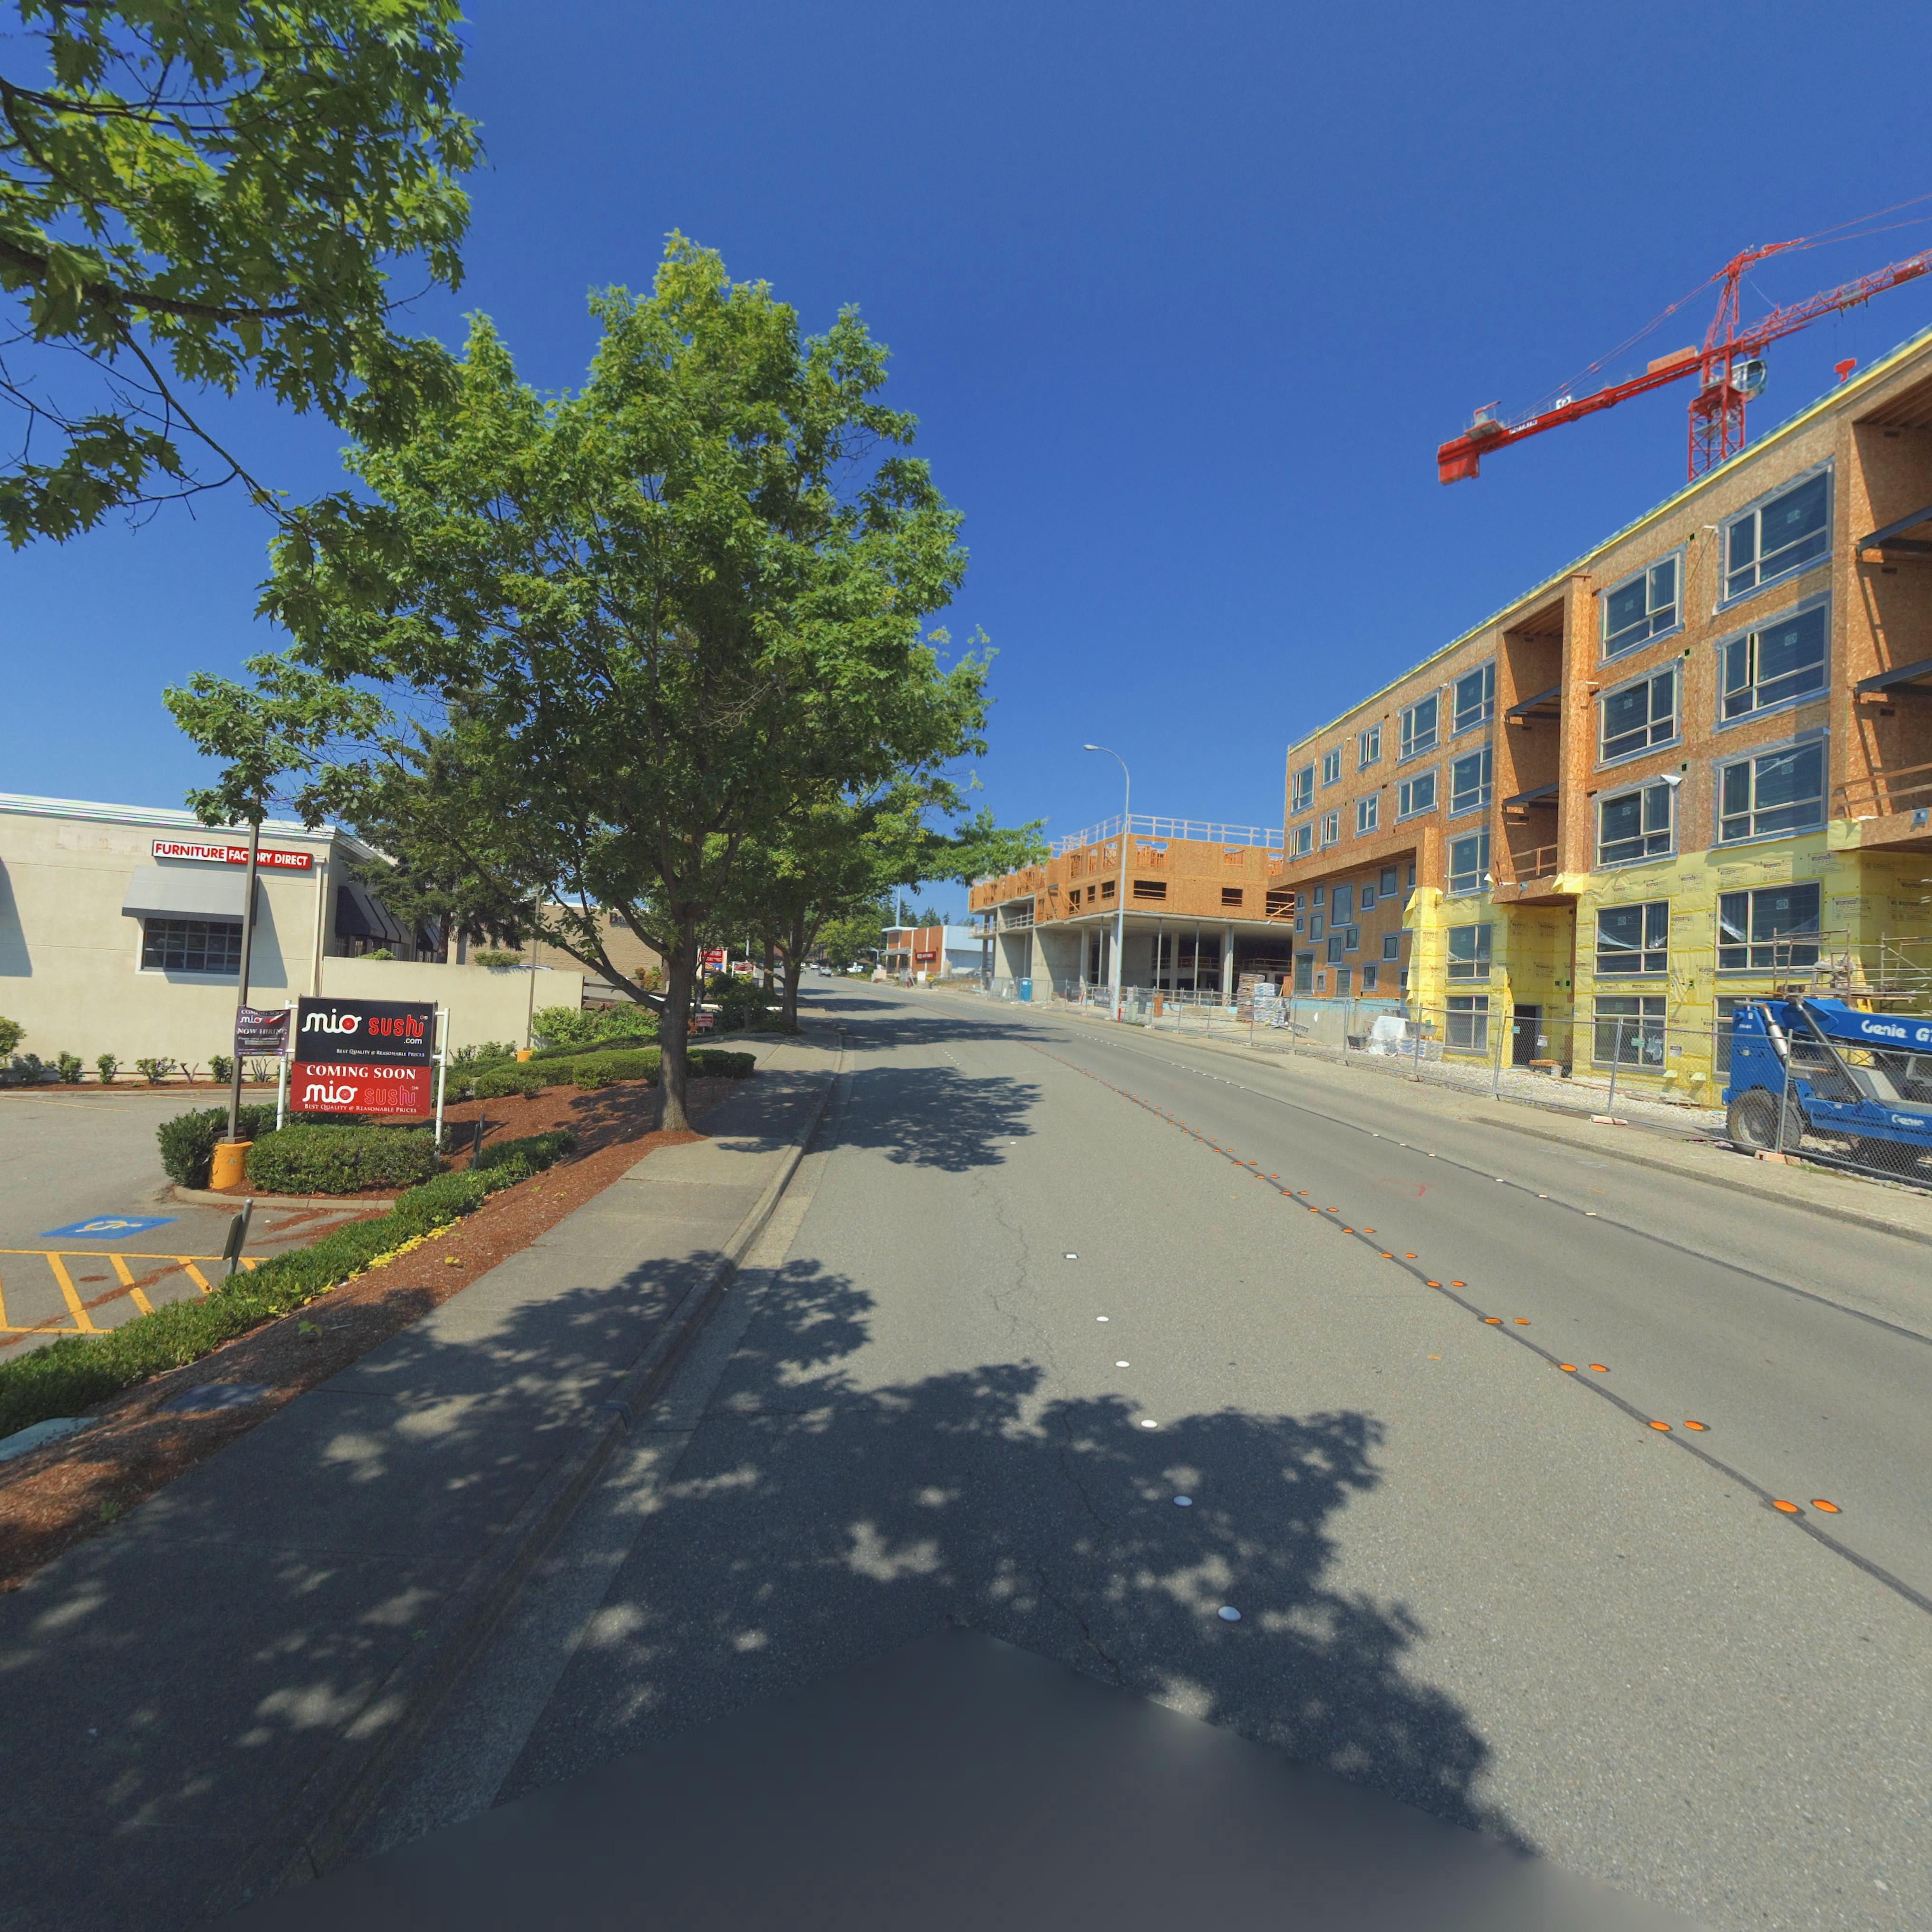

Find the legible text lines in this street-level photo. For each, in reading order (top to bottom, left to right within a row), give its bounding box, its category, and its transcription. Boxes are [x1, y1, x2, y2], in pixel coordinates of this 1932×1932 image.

[155, 842, 225, 859] BusinessName: FURNITURE
[229, 850, 307, 865] BusinessName: FAC**RY DIRECT